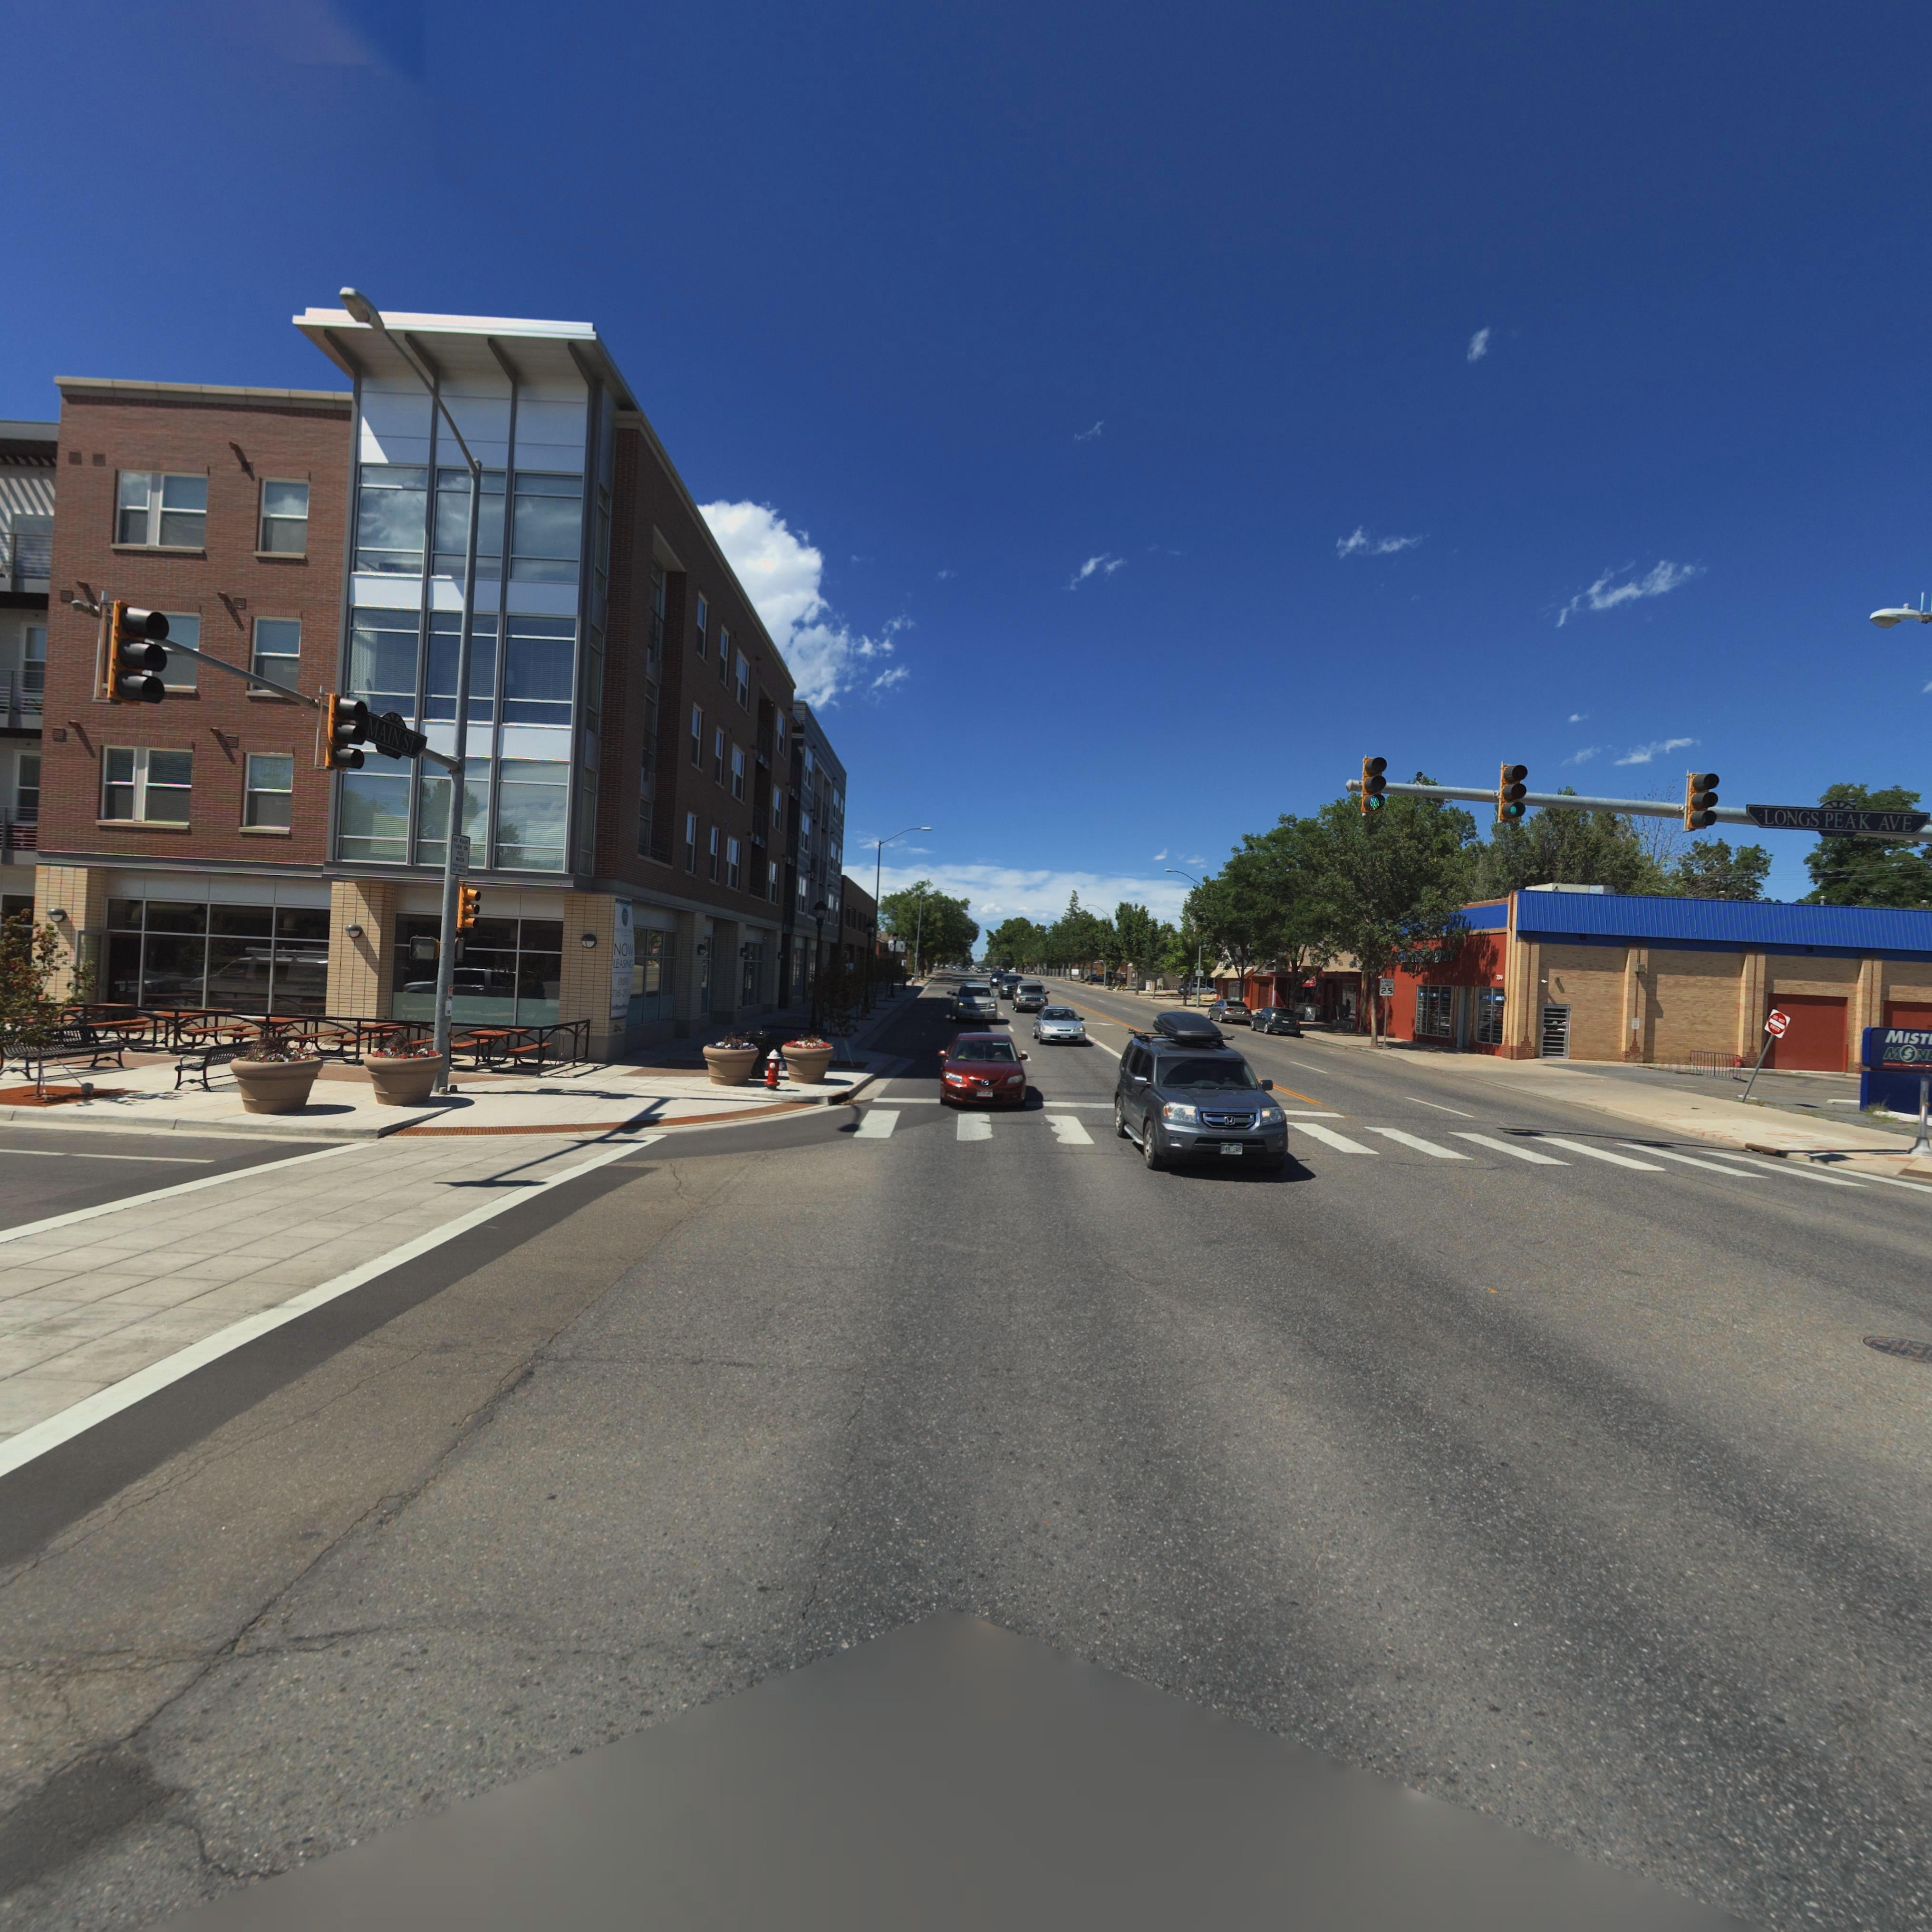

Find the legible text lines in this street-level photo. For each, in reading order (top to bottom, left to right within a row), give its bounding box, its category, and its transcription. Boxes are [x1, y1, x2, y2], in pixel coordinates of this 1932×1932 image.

[367, 717, 416, 753] StreetName: MAIN ST
[1764, 809, 1913, 831] StreetName: LONG PEAK AVE
[1831, 831, 1844, 836] StreetNumberRange: *0*
[622, 913, 628, 921] BusinessName: R*
[1496, 974, 1503, 980] StreetNumber: **4
[1884, 1030, 1930, 1044] BusinessName: MIST
[1883, 1047, 1929, 1061] BusinessName: M*N